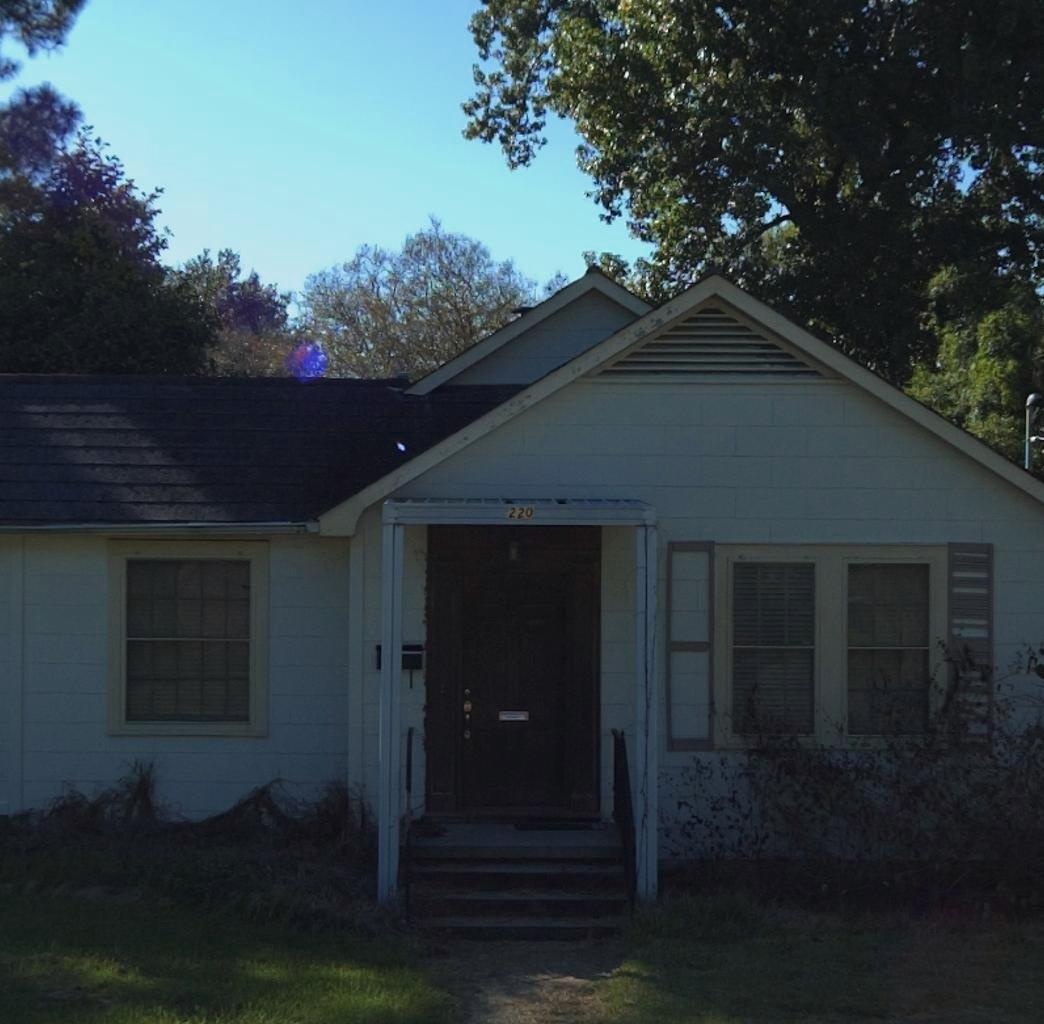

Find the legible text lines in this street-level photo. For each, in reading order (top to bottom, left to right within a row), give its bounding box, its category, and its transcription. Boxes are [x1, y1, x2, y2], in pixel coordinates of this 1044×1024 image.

[506, 504, 536, 521] StreetNumber: 220